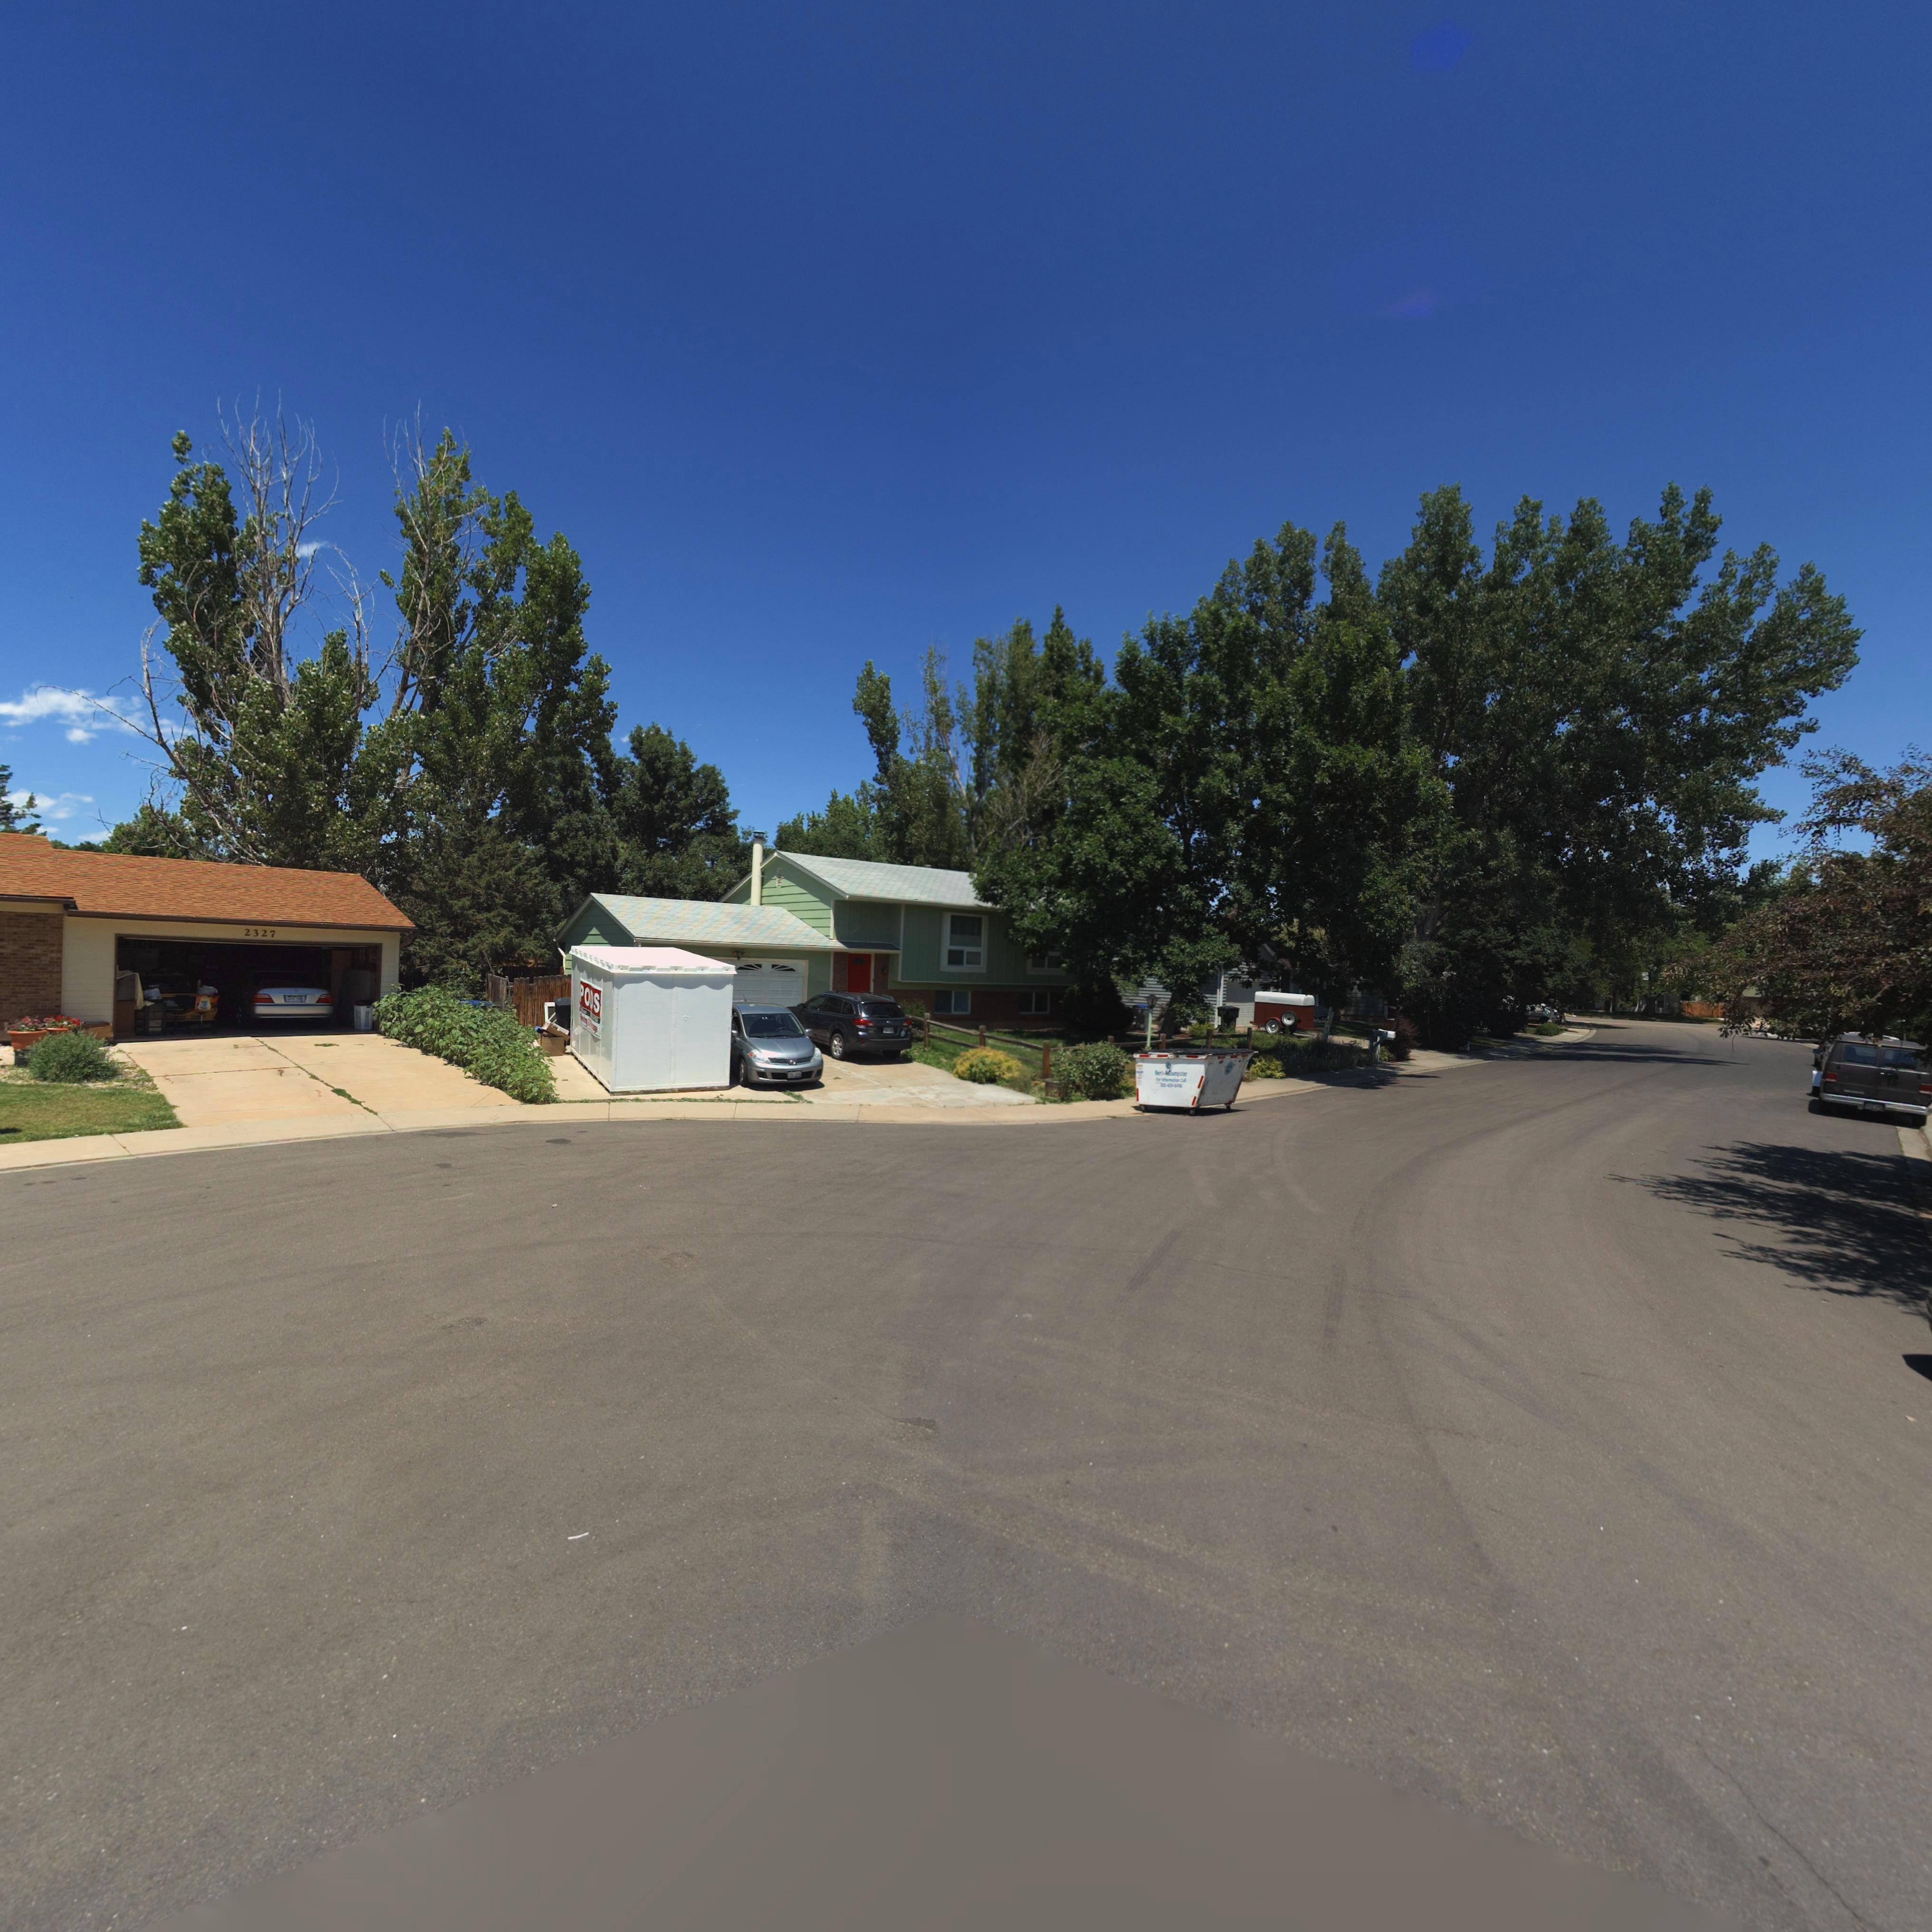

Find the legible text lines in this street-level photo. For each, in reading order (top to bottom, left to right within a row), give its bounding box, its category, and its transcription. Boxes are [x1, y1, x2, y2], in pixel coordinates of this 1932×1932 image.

[245, 928, 275, 937] StreetNumber: 2327